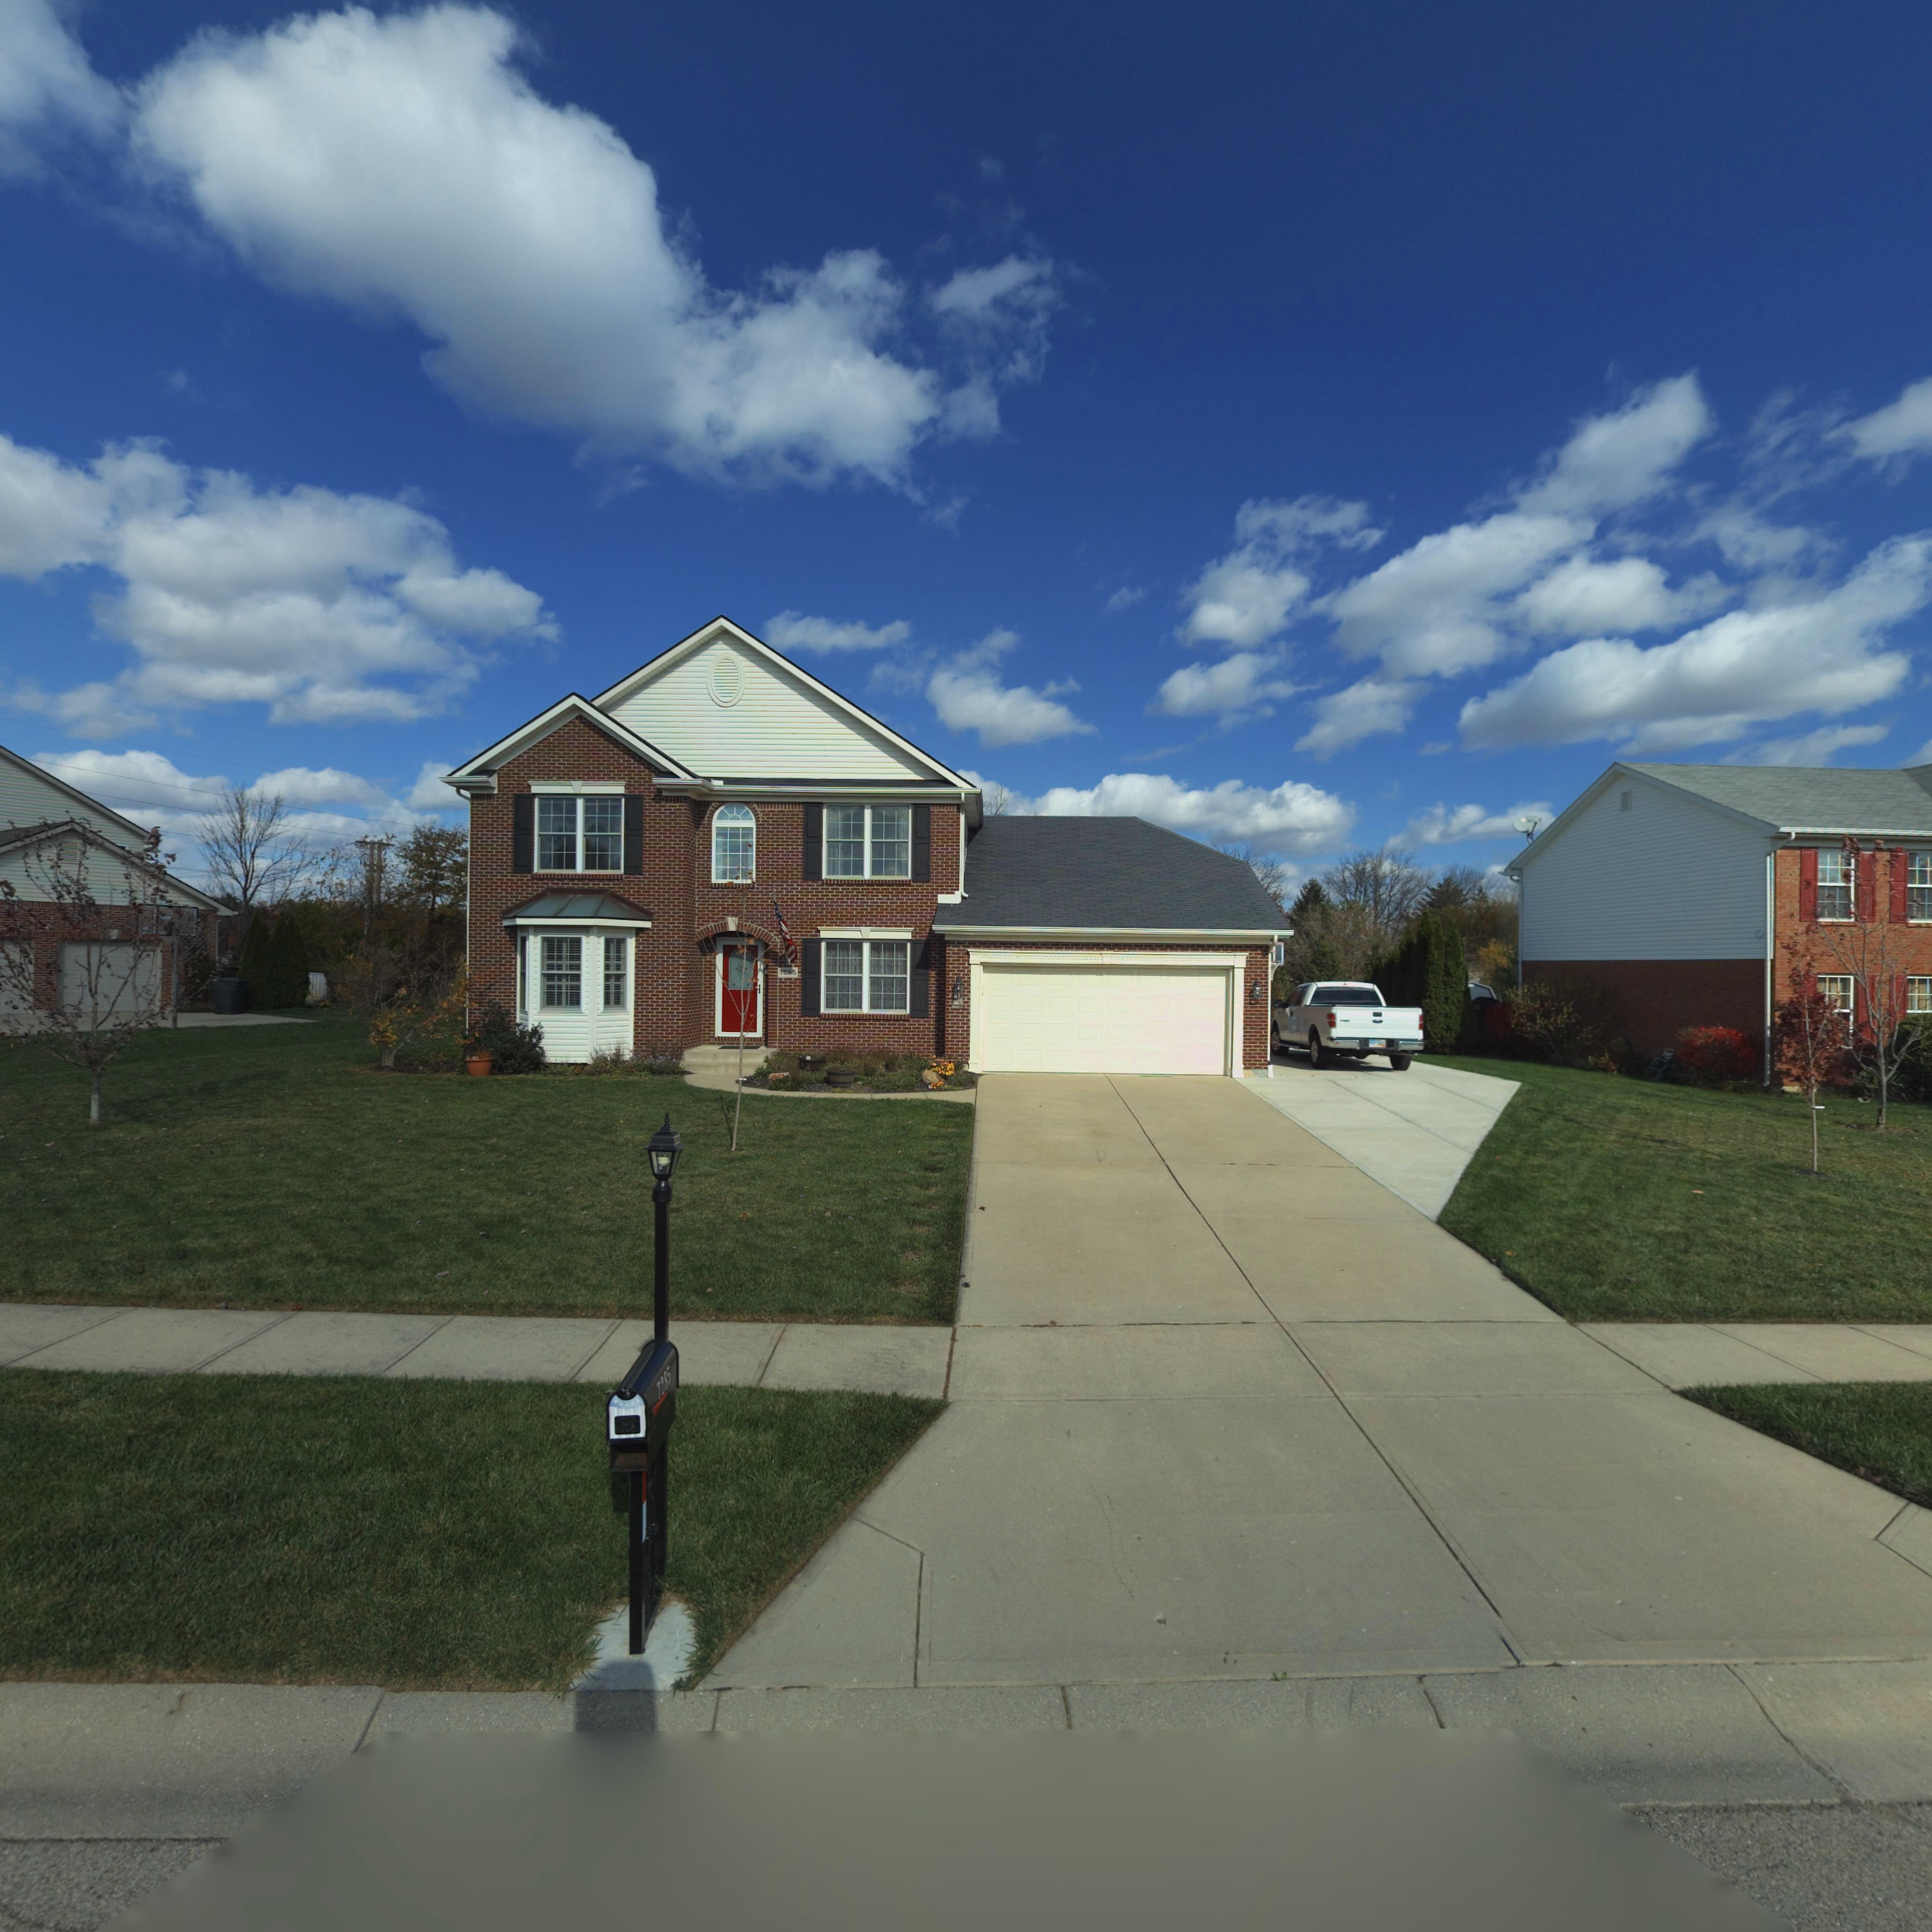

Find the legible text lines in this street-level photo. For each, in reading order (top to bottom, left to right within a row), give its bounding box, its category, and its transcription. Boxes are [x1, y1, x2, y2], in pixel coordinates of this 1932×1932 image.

[779, 969, 797, 976] StreetNumber: 7285
[655, 1363, 672, 1402] StreetNumber: 7285